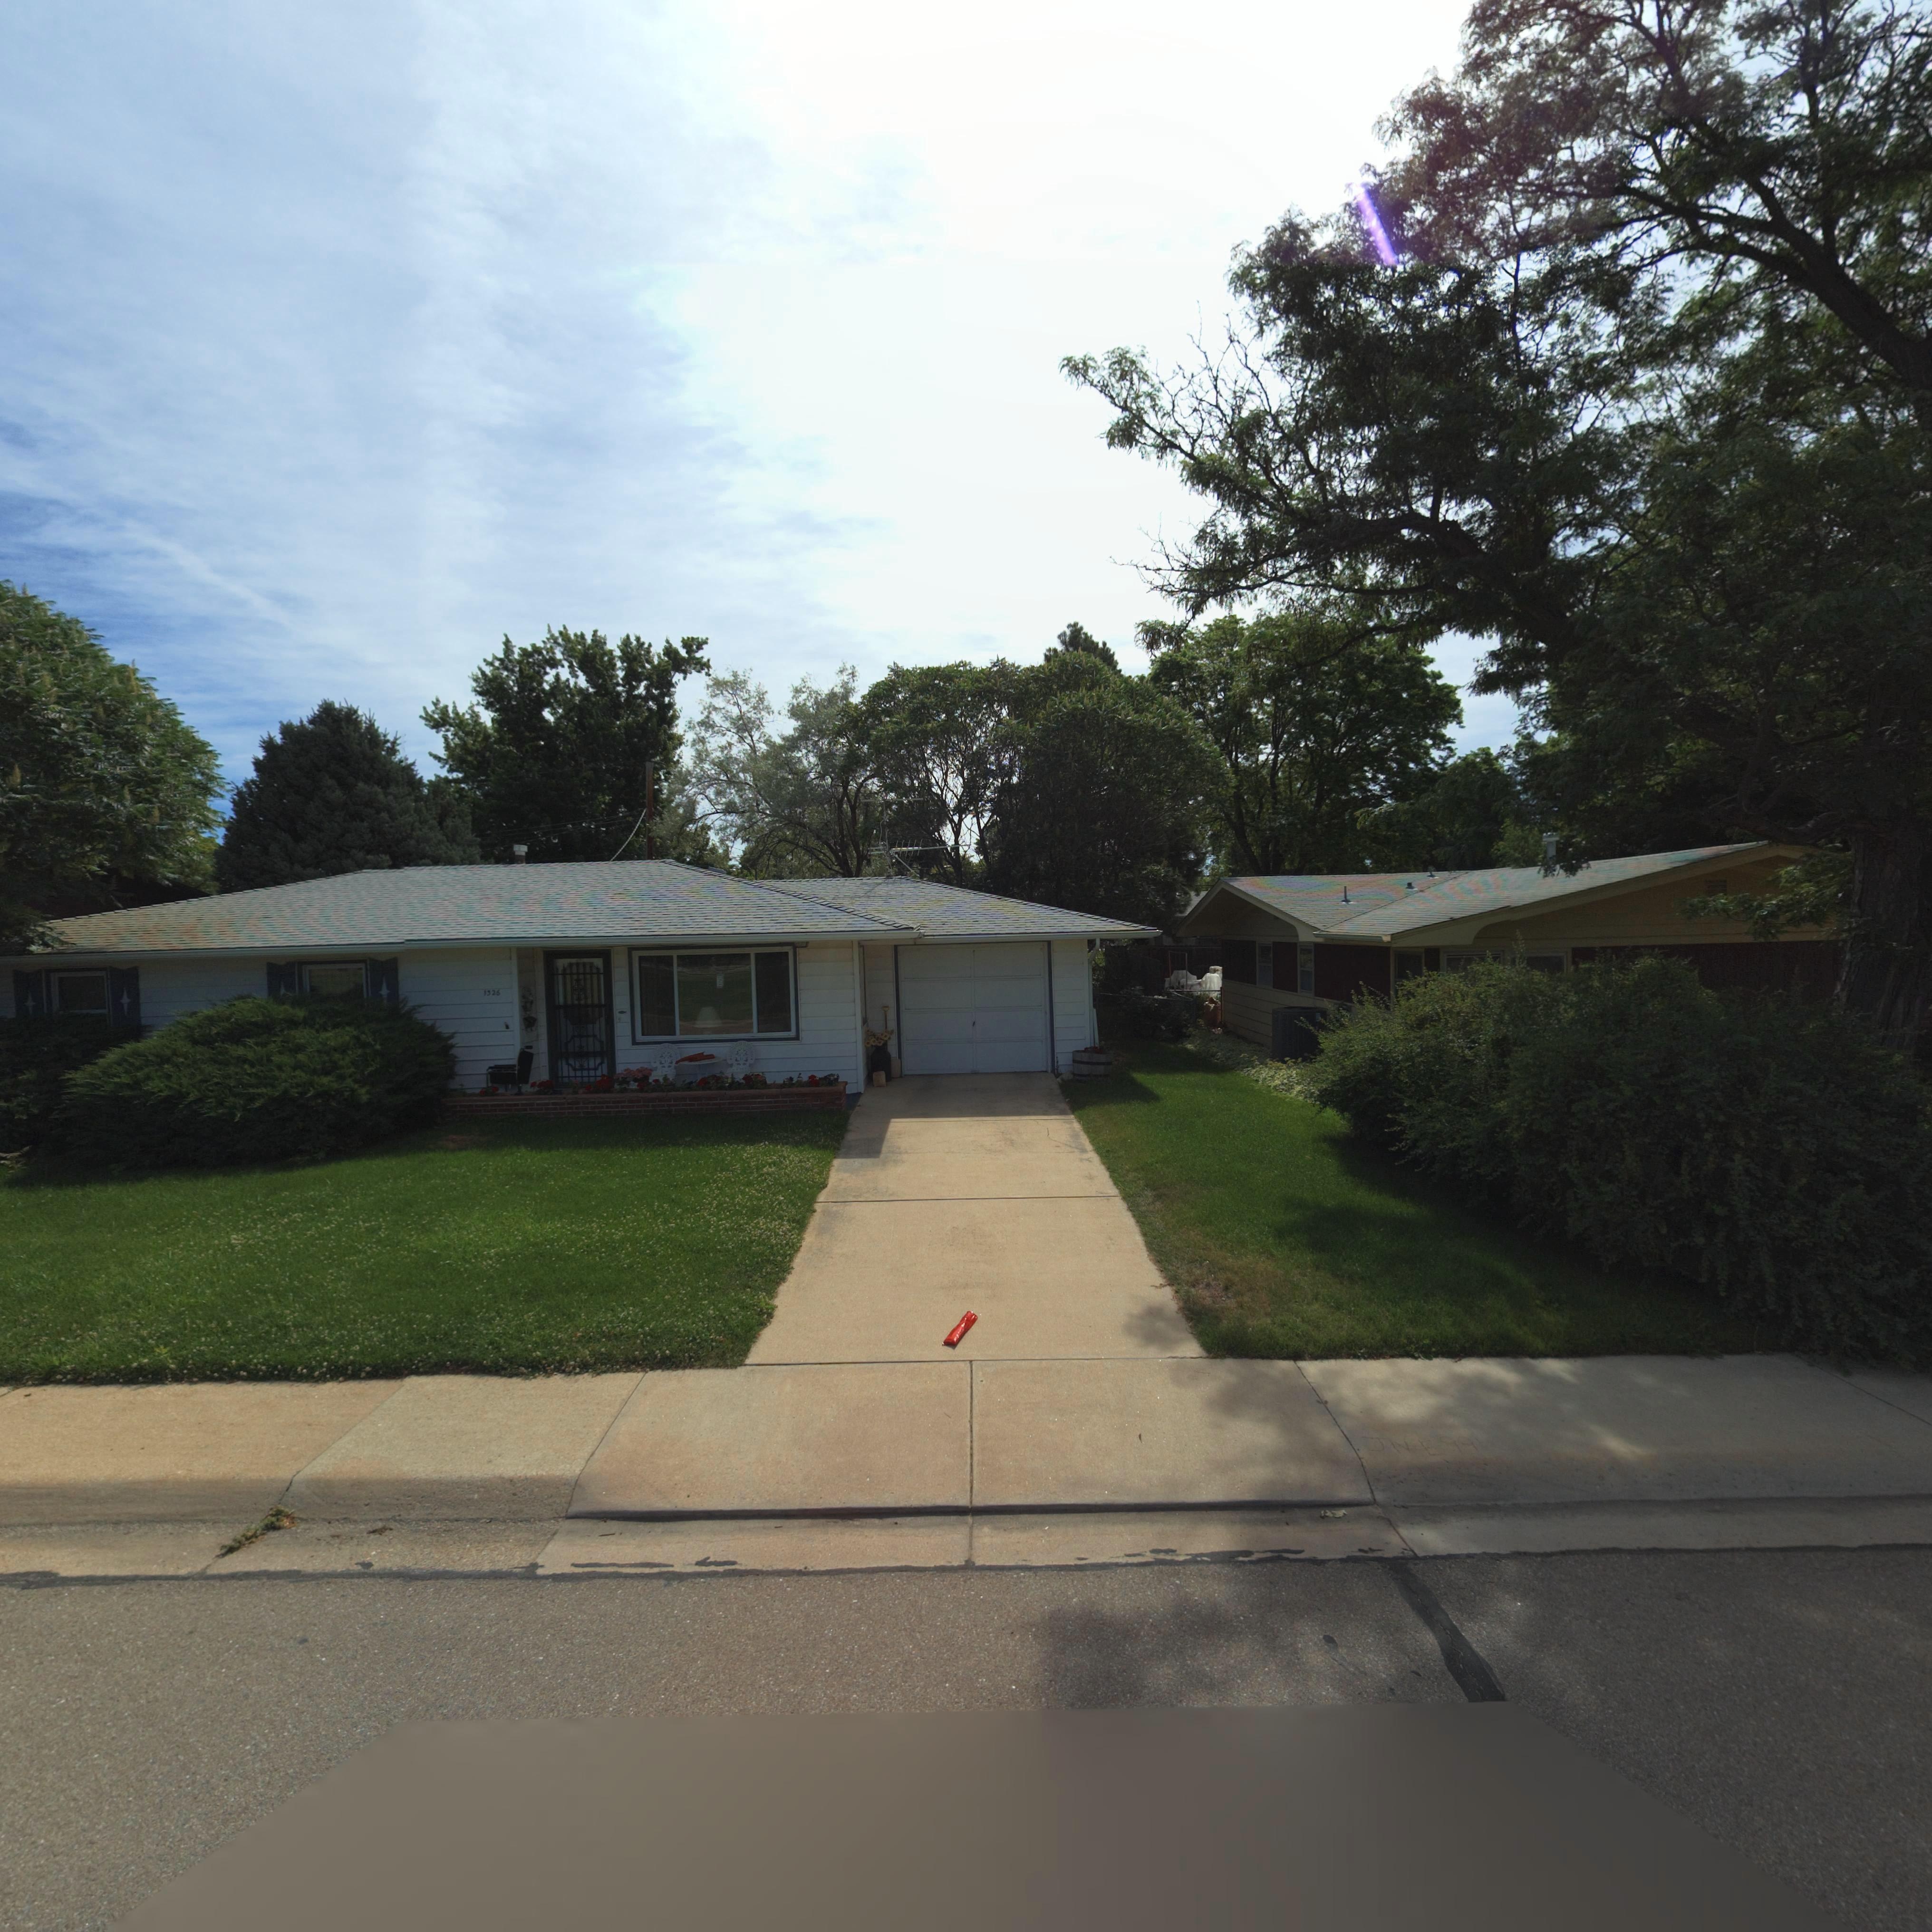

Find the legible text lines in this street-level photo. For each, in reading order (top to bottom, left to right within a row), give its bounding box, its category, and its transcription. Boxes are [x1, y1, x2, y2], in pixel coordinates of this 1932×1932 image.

[483, 989, 500, 996] StreetNumber: 1326